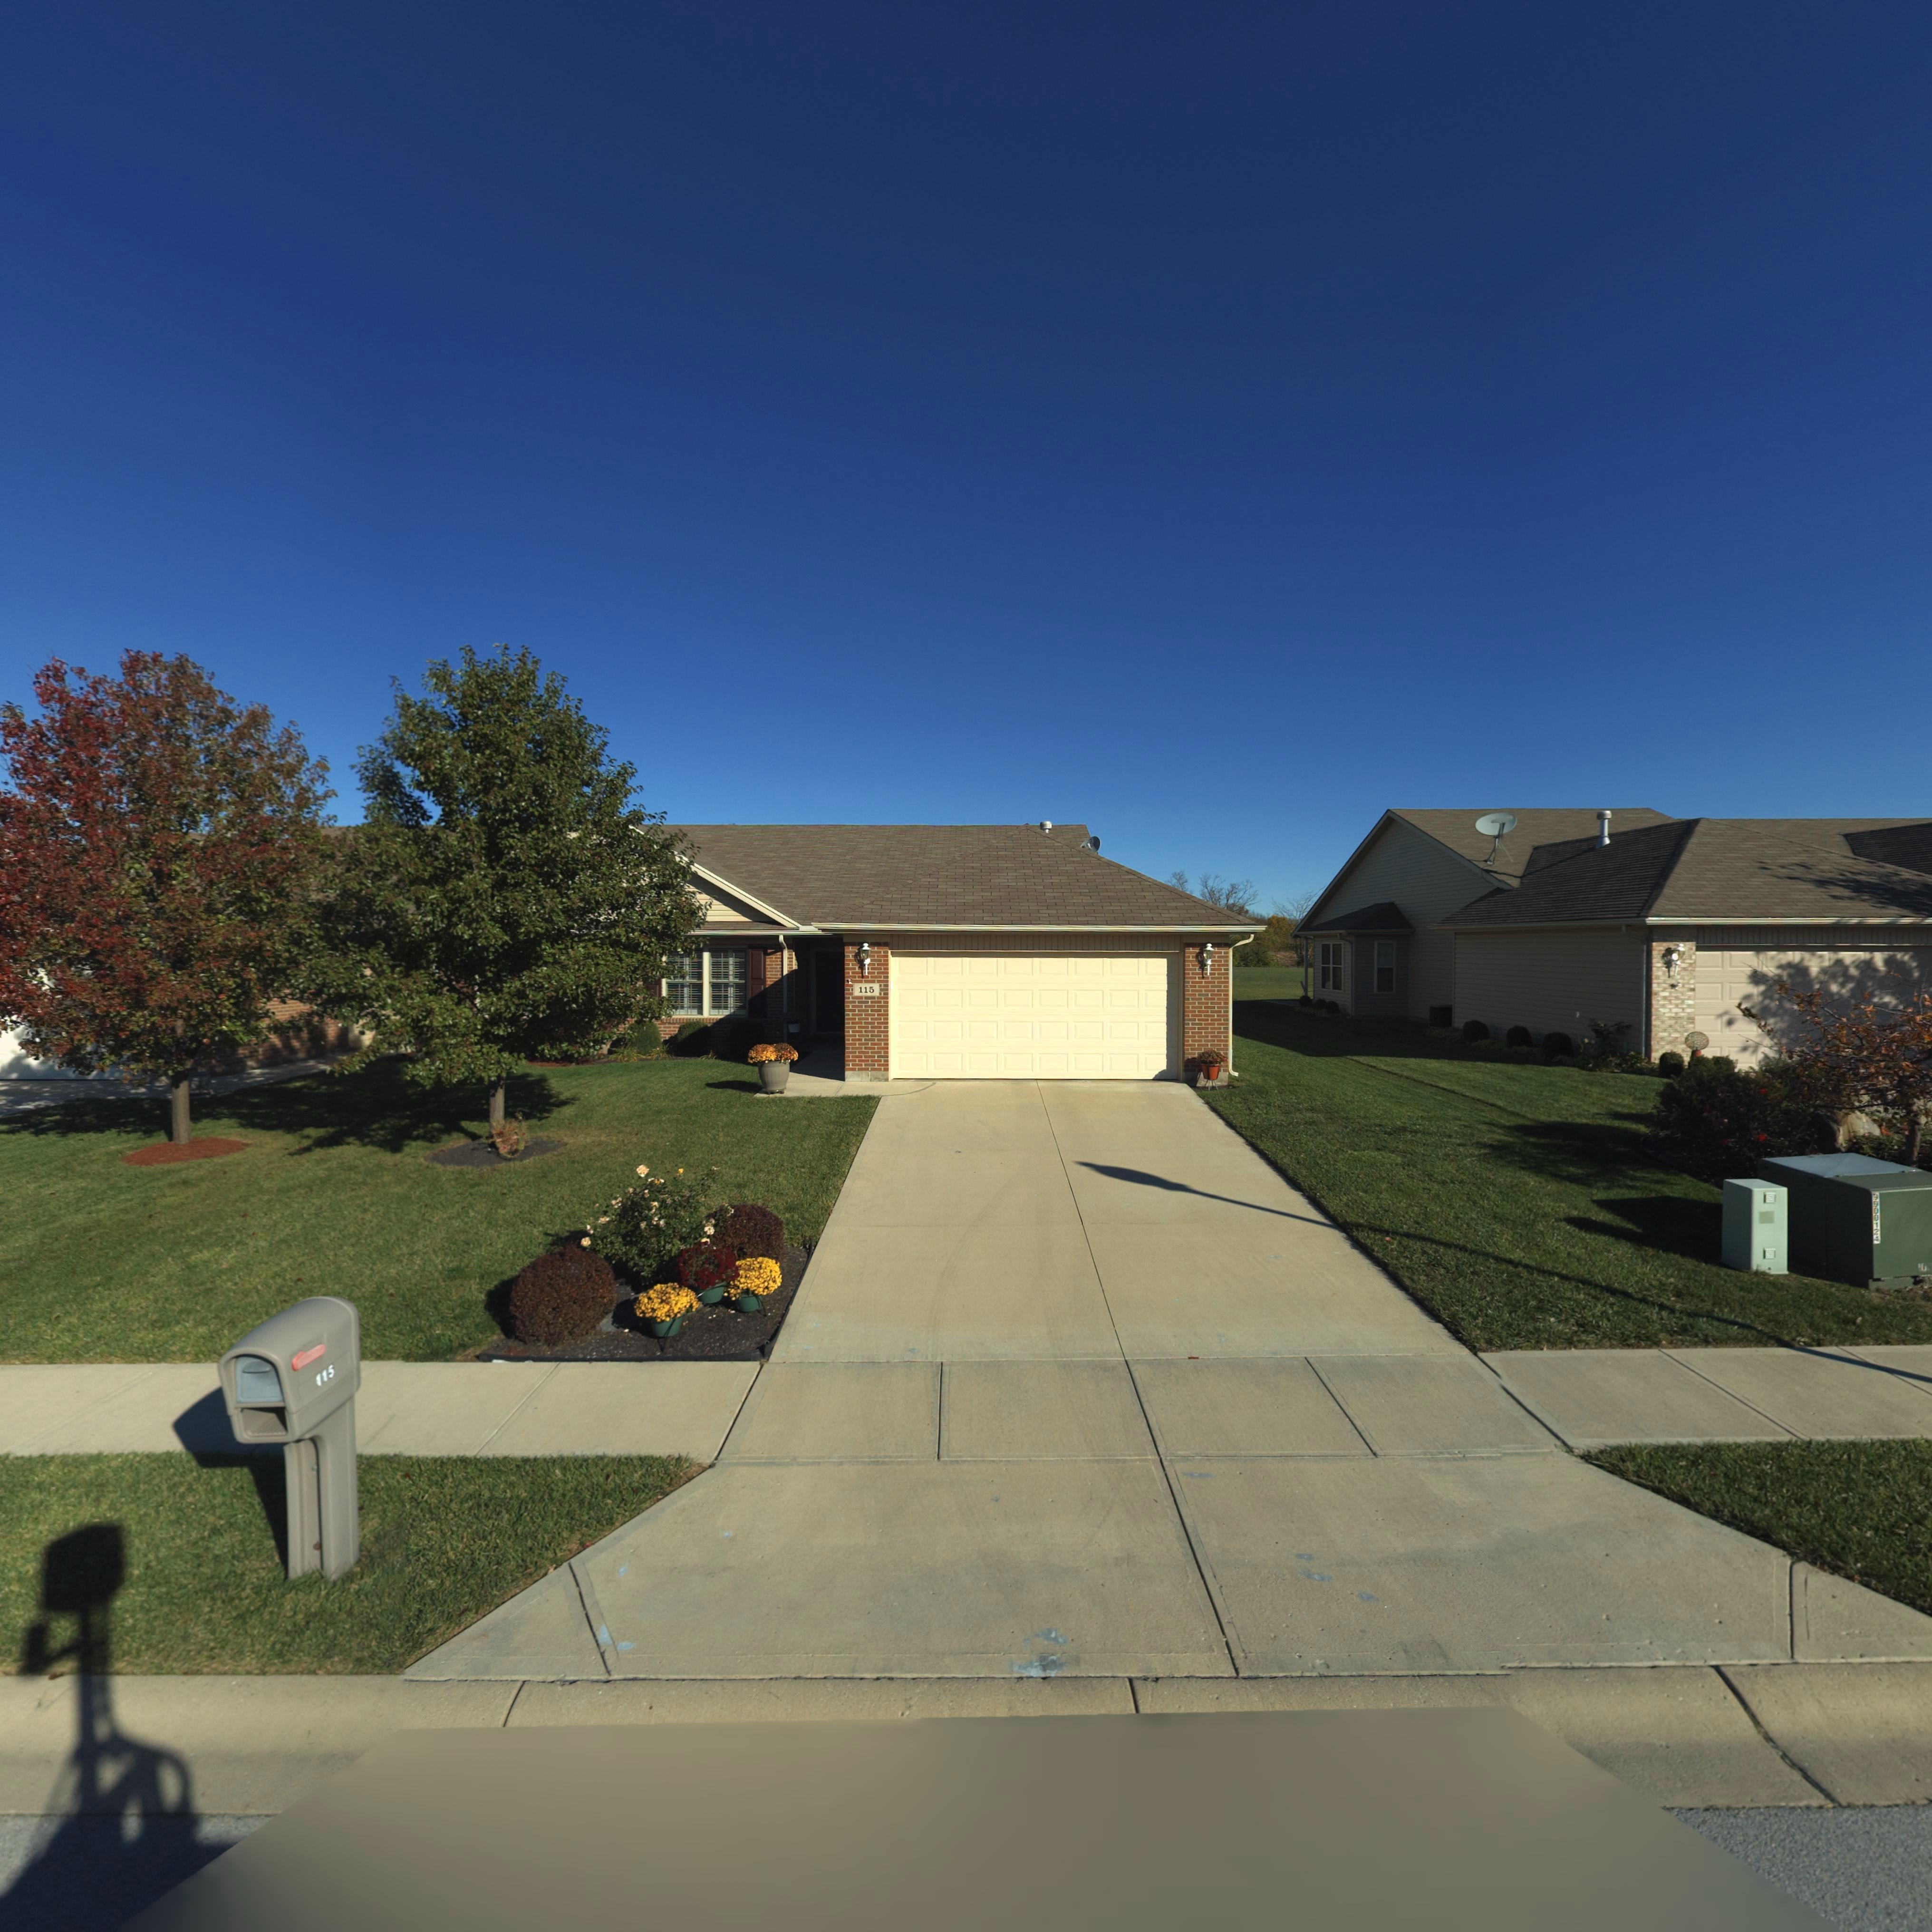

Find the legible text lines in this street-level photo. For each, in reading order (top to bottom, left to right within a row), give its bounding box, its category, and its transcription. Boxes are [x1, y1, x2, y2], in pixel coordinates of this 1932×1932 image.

[858, 985, 875, 994] StreetNumber: 115
[314, 1363, 337, 1389] StreetNumber: 115